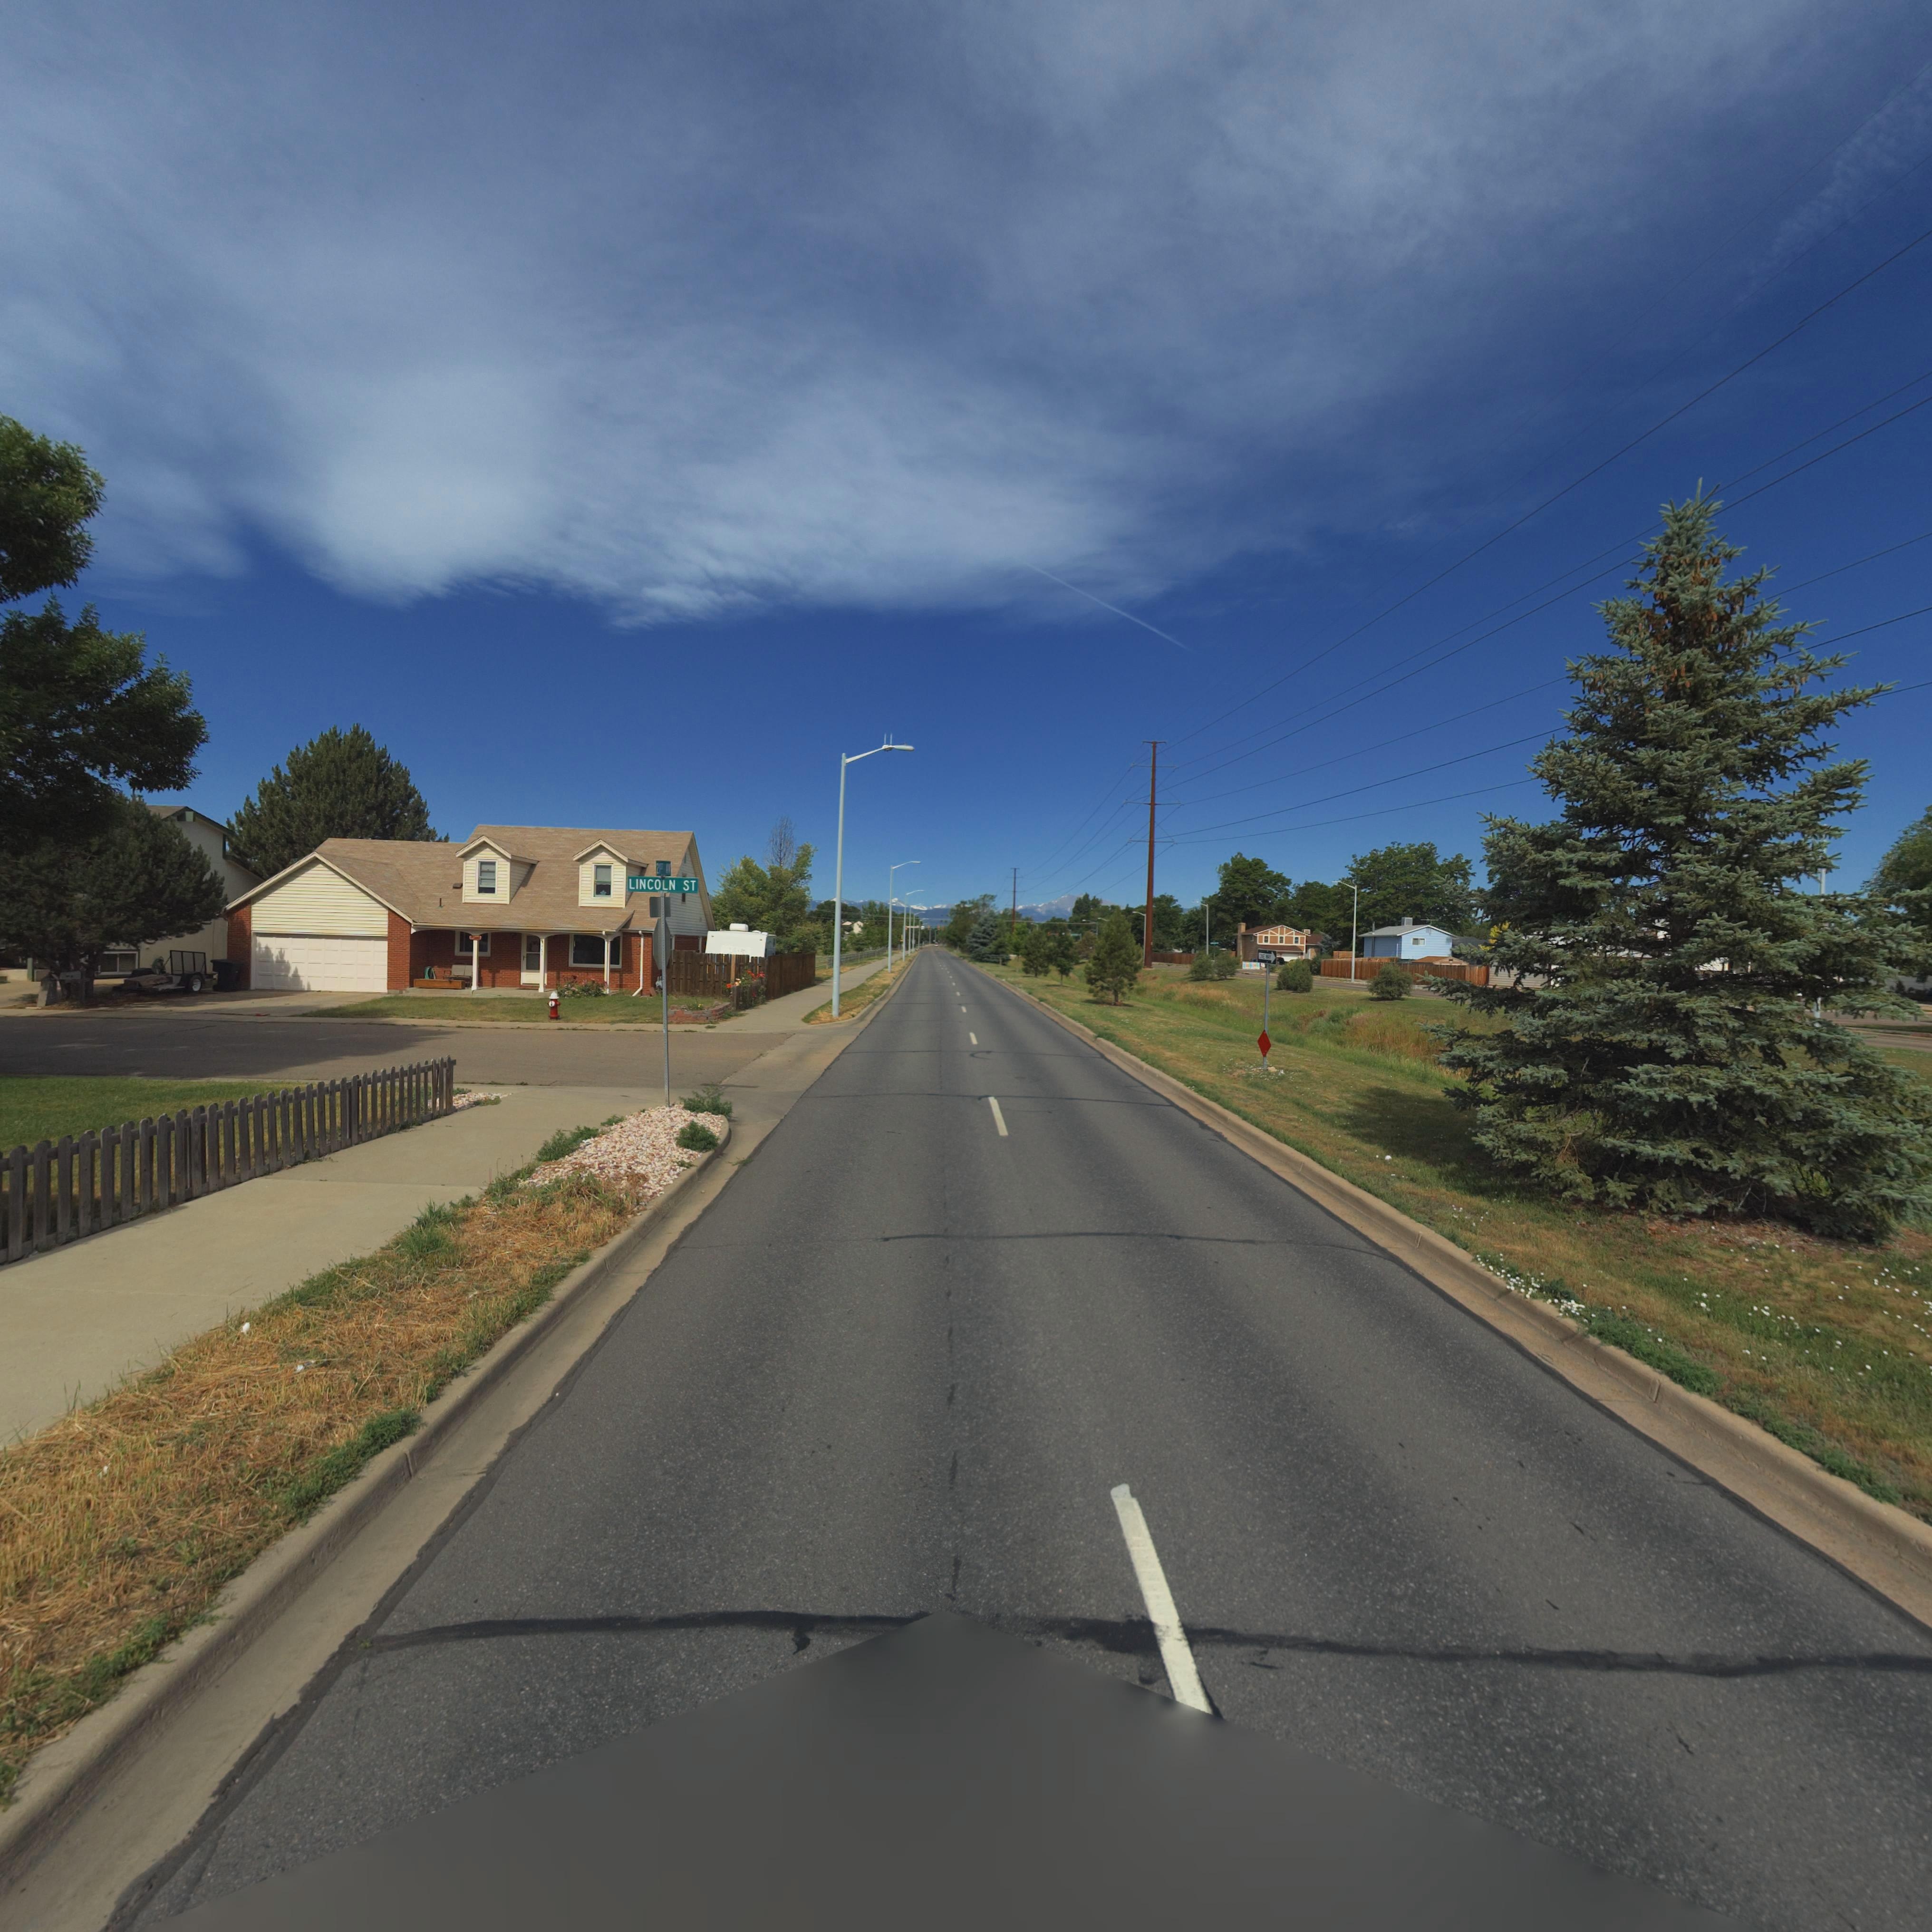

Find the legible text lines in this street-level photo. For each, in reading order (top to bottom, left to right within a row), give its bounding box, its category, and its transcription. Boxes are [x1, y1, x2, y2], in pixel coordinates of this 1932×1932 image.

[656, 862, 670, 874] StreetName: 21ST AV
[628, 878, 696, 891] StreetName: LINCOLN ST